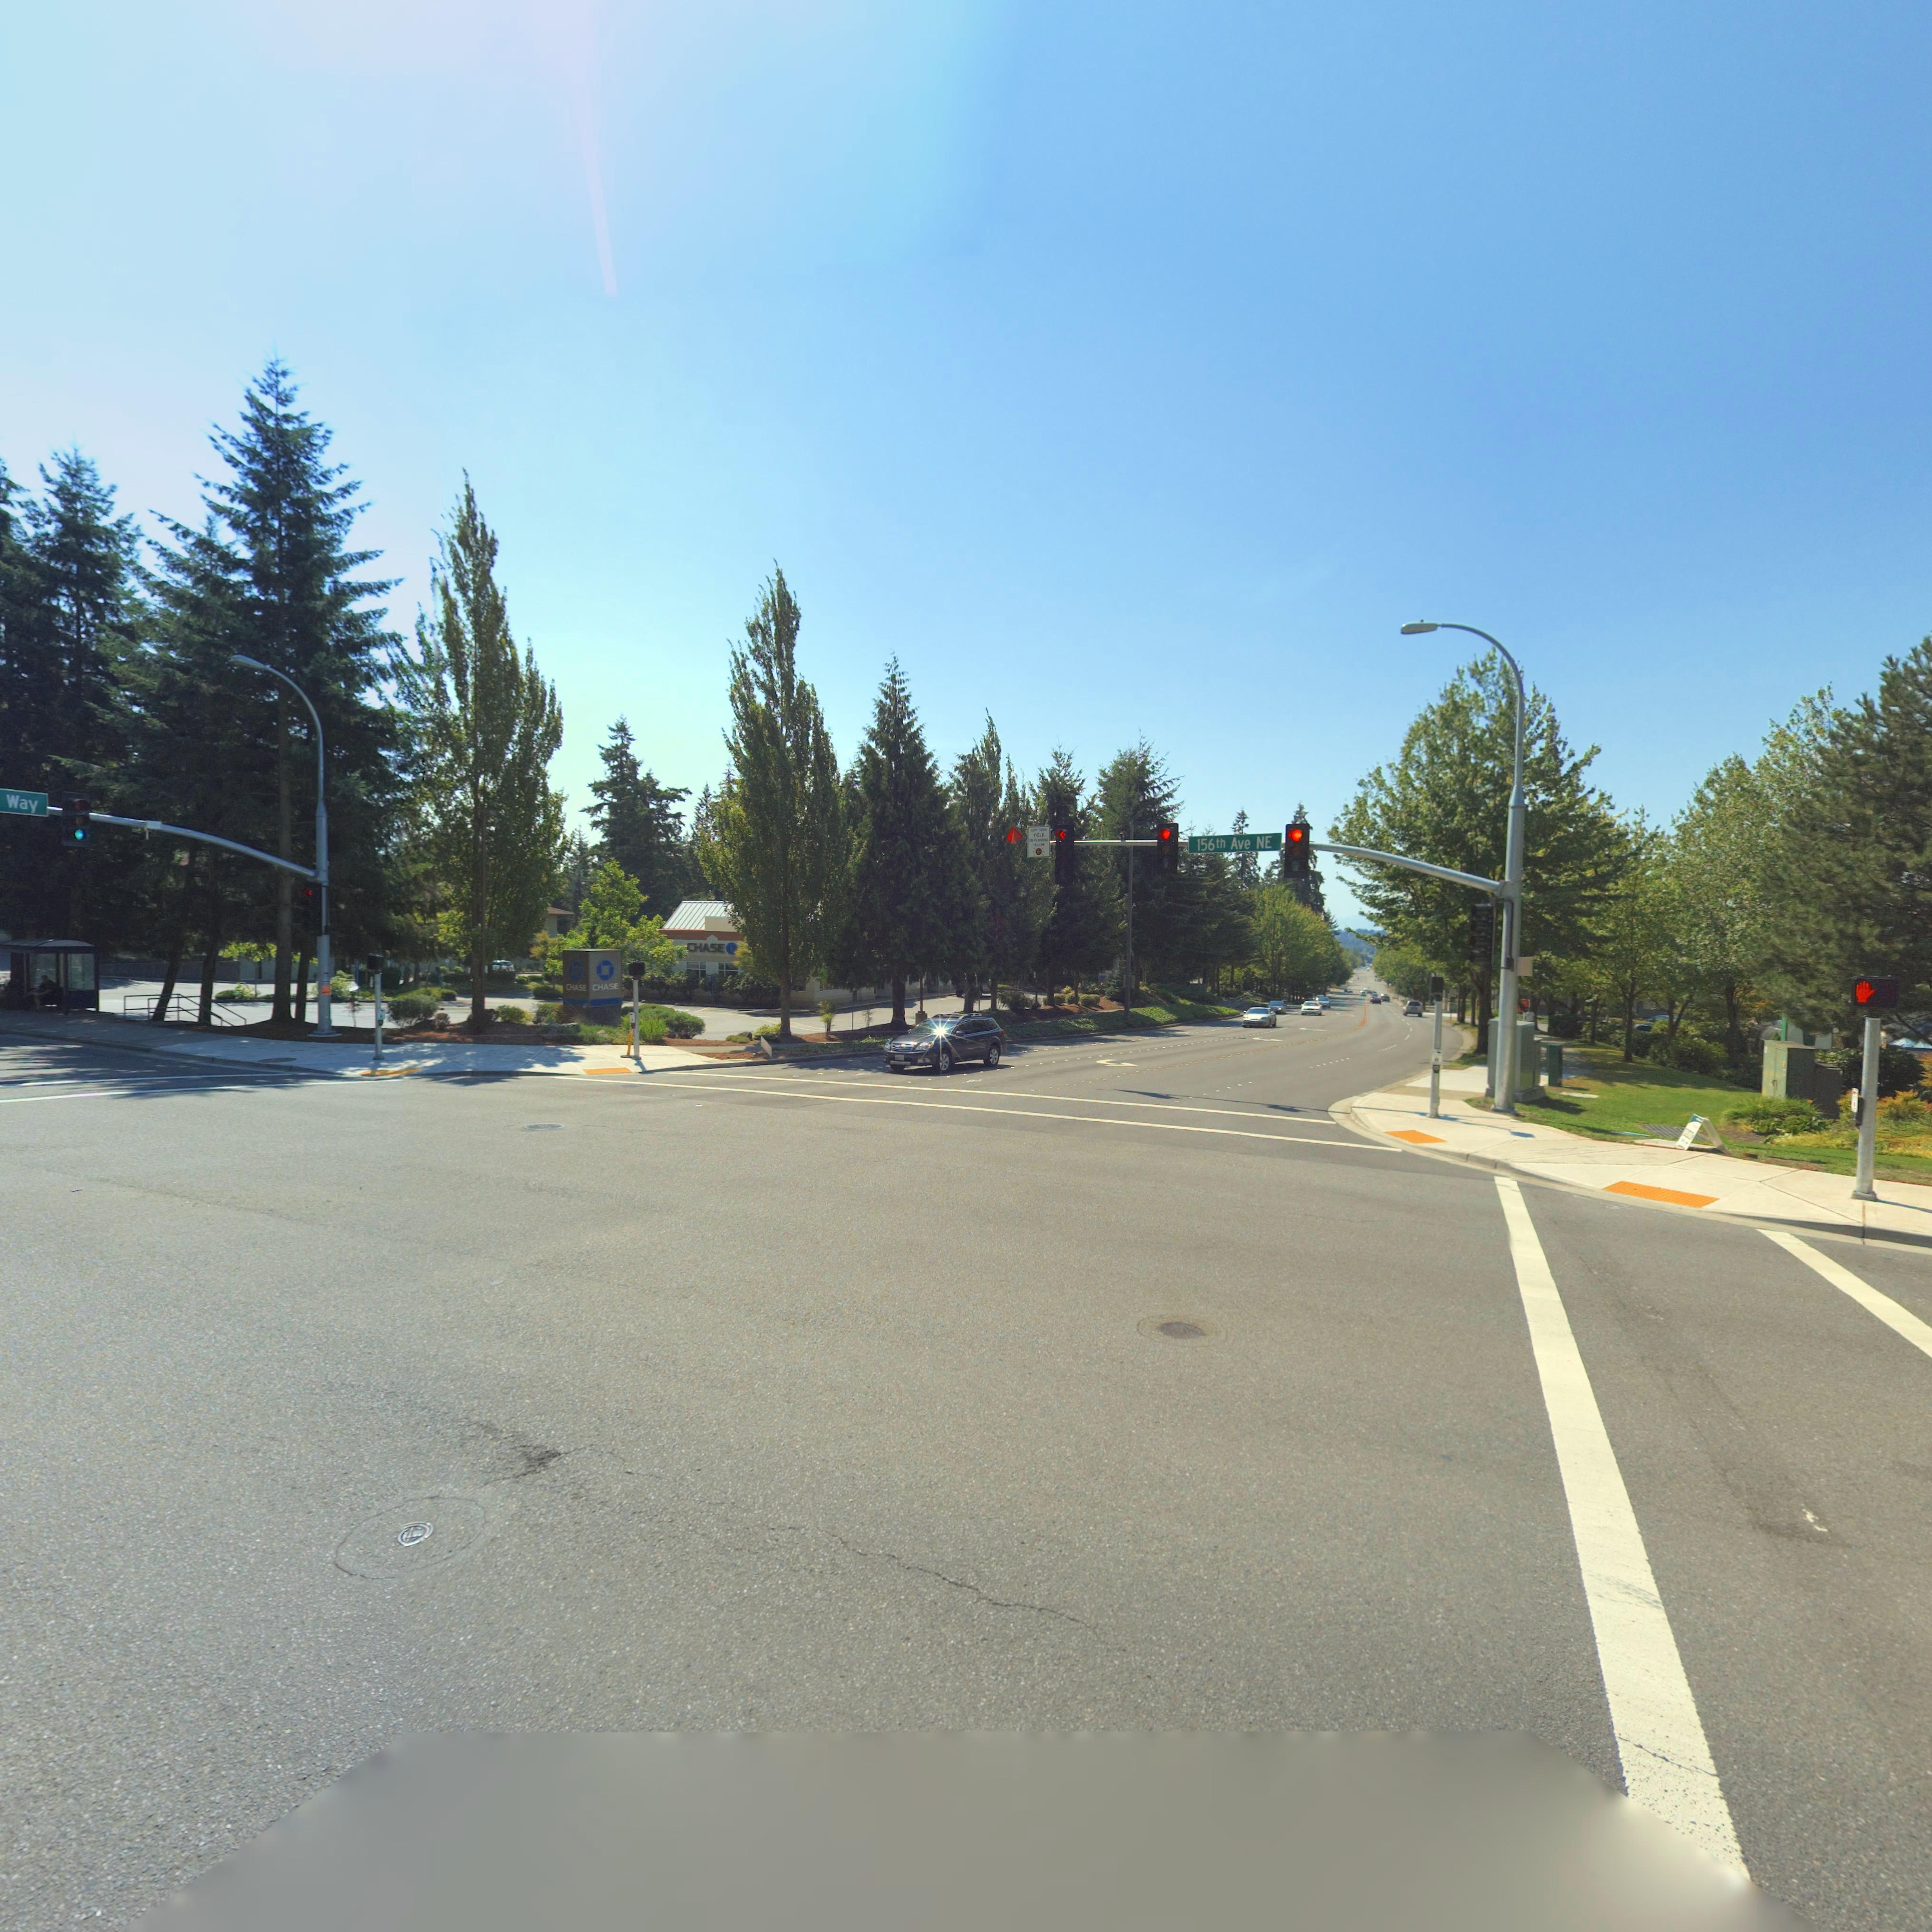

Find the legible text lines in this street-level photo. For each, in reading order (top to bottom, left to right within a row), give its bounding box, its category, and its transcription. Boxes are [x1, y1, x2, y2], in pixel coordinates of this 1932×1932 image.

[4, 793, 39, 814] StreetName: Way
[1197, 835, 1272, 851] StreetName: 156th Ave NE
[686, 943, 724, 953] BusinessName: CHASE
[566, 984, 587, 991] BusinessName: CHASE
[592, 982, 618, 991] BusinessName: CHASE